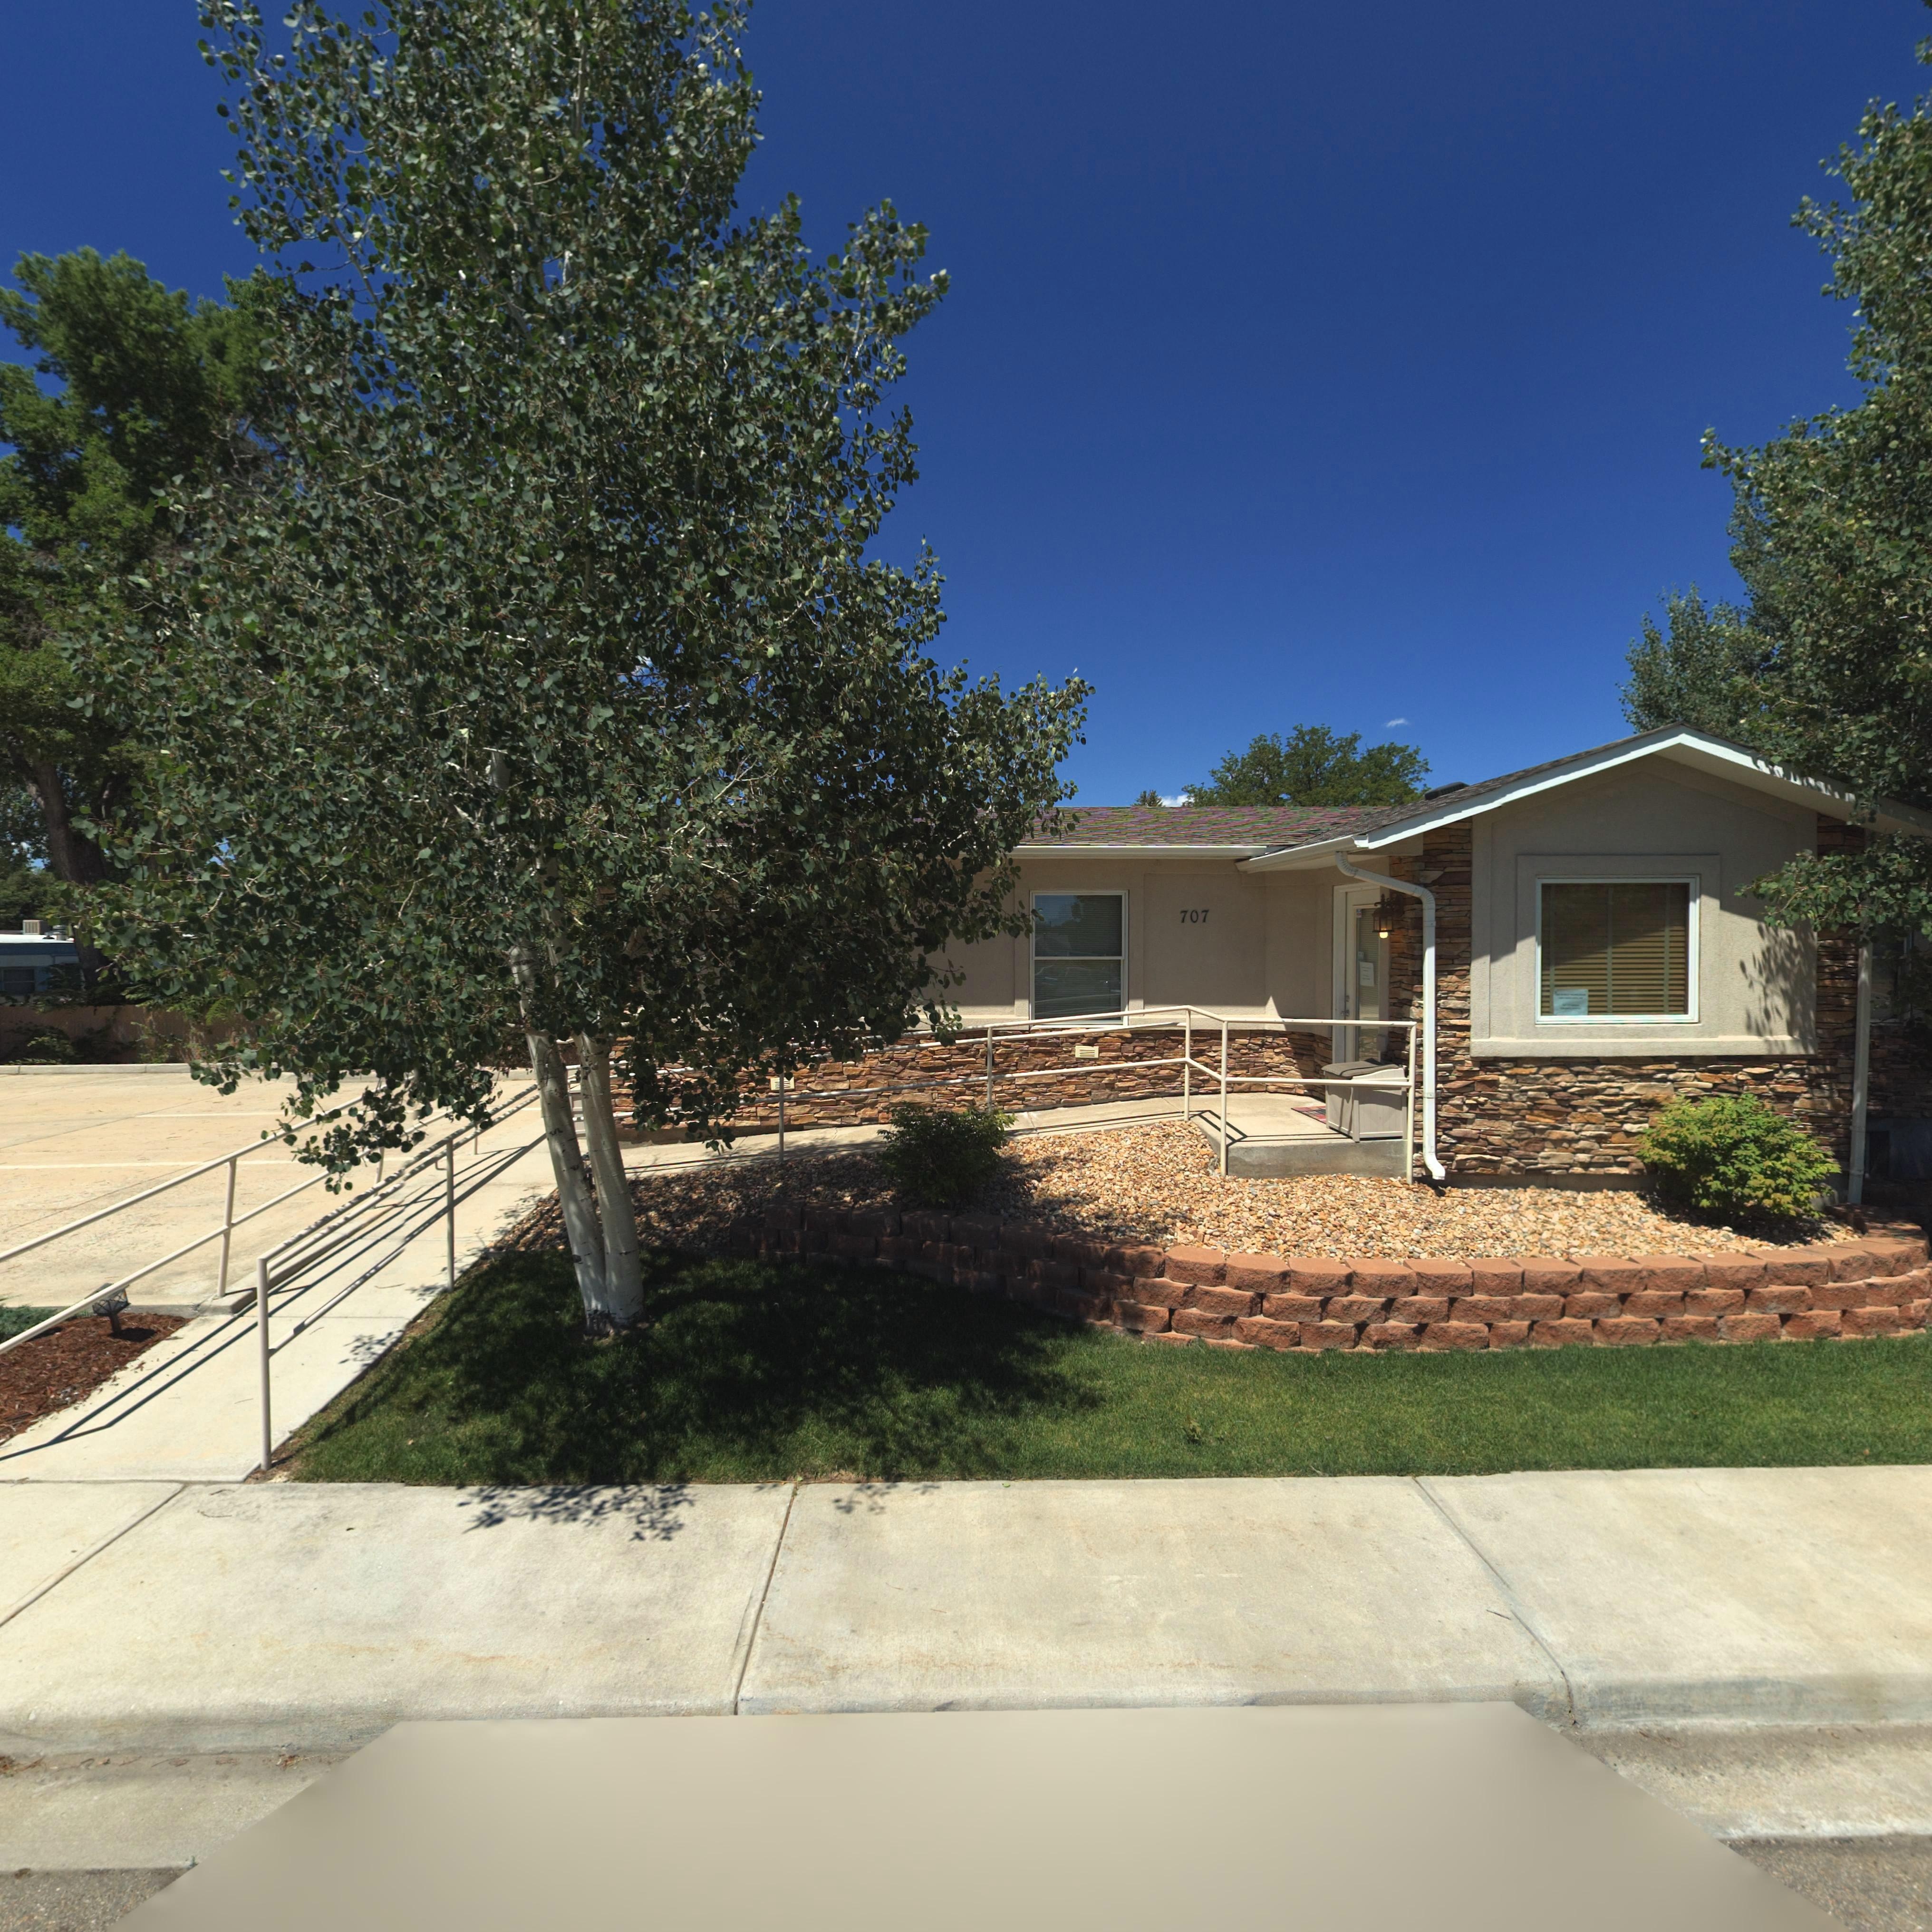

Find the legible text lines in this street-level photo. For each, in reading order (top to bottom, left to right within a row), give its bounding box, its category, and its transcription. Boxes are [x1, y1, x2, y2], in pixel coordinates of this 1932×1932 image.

[1179, 907, 1211, 924] StreetNumber: 707